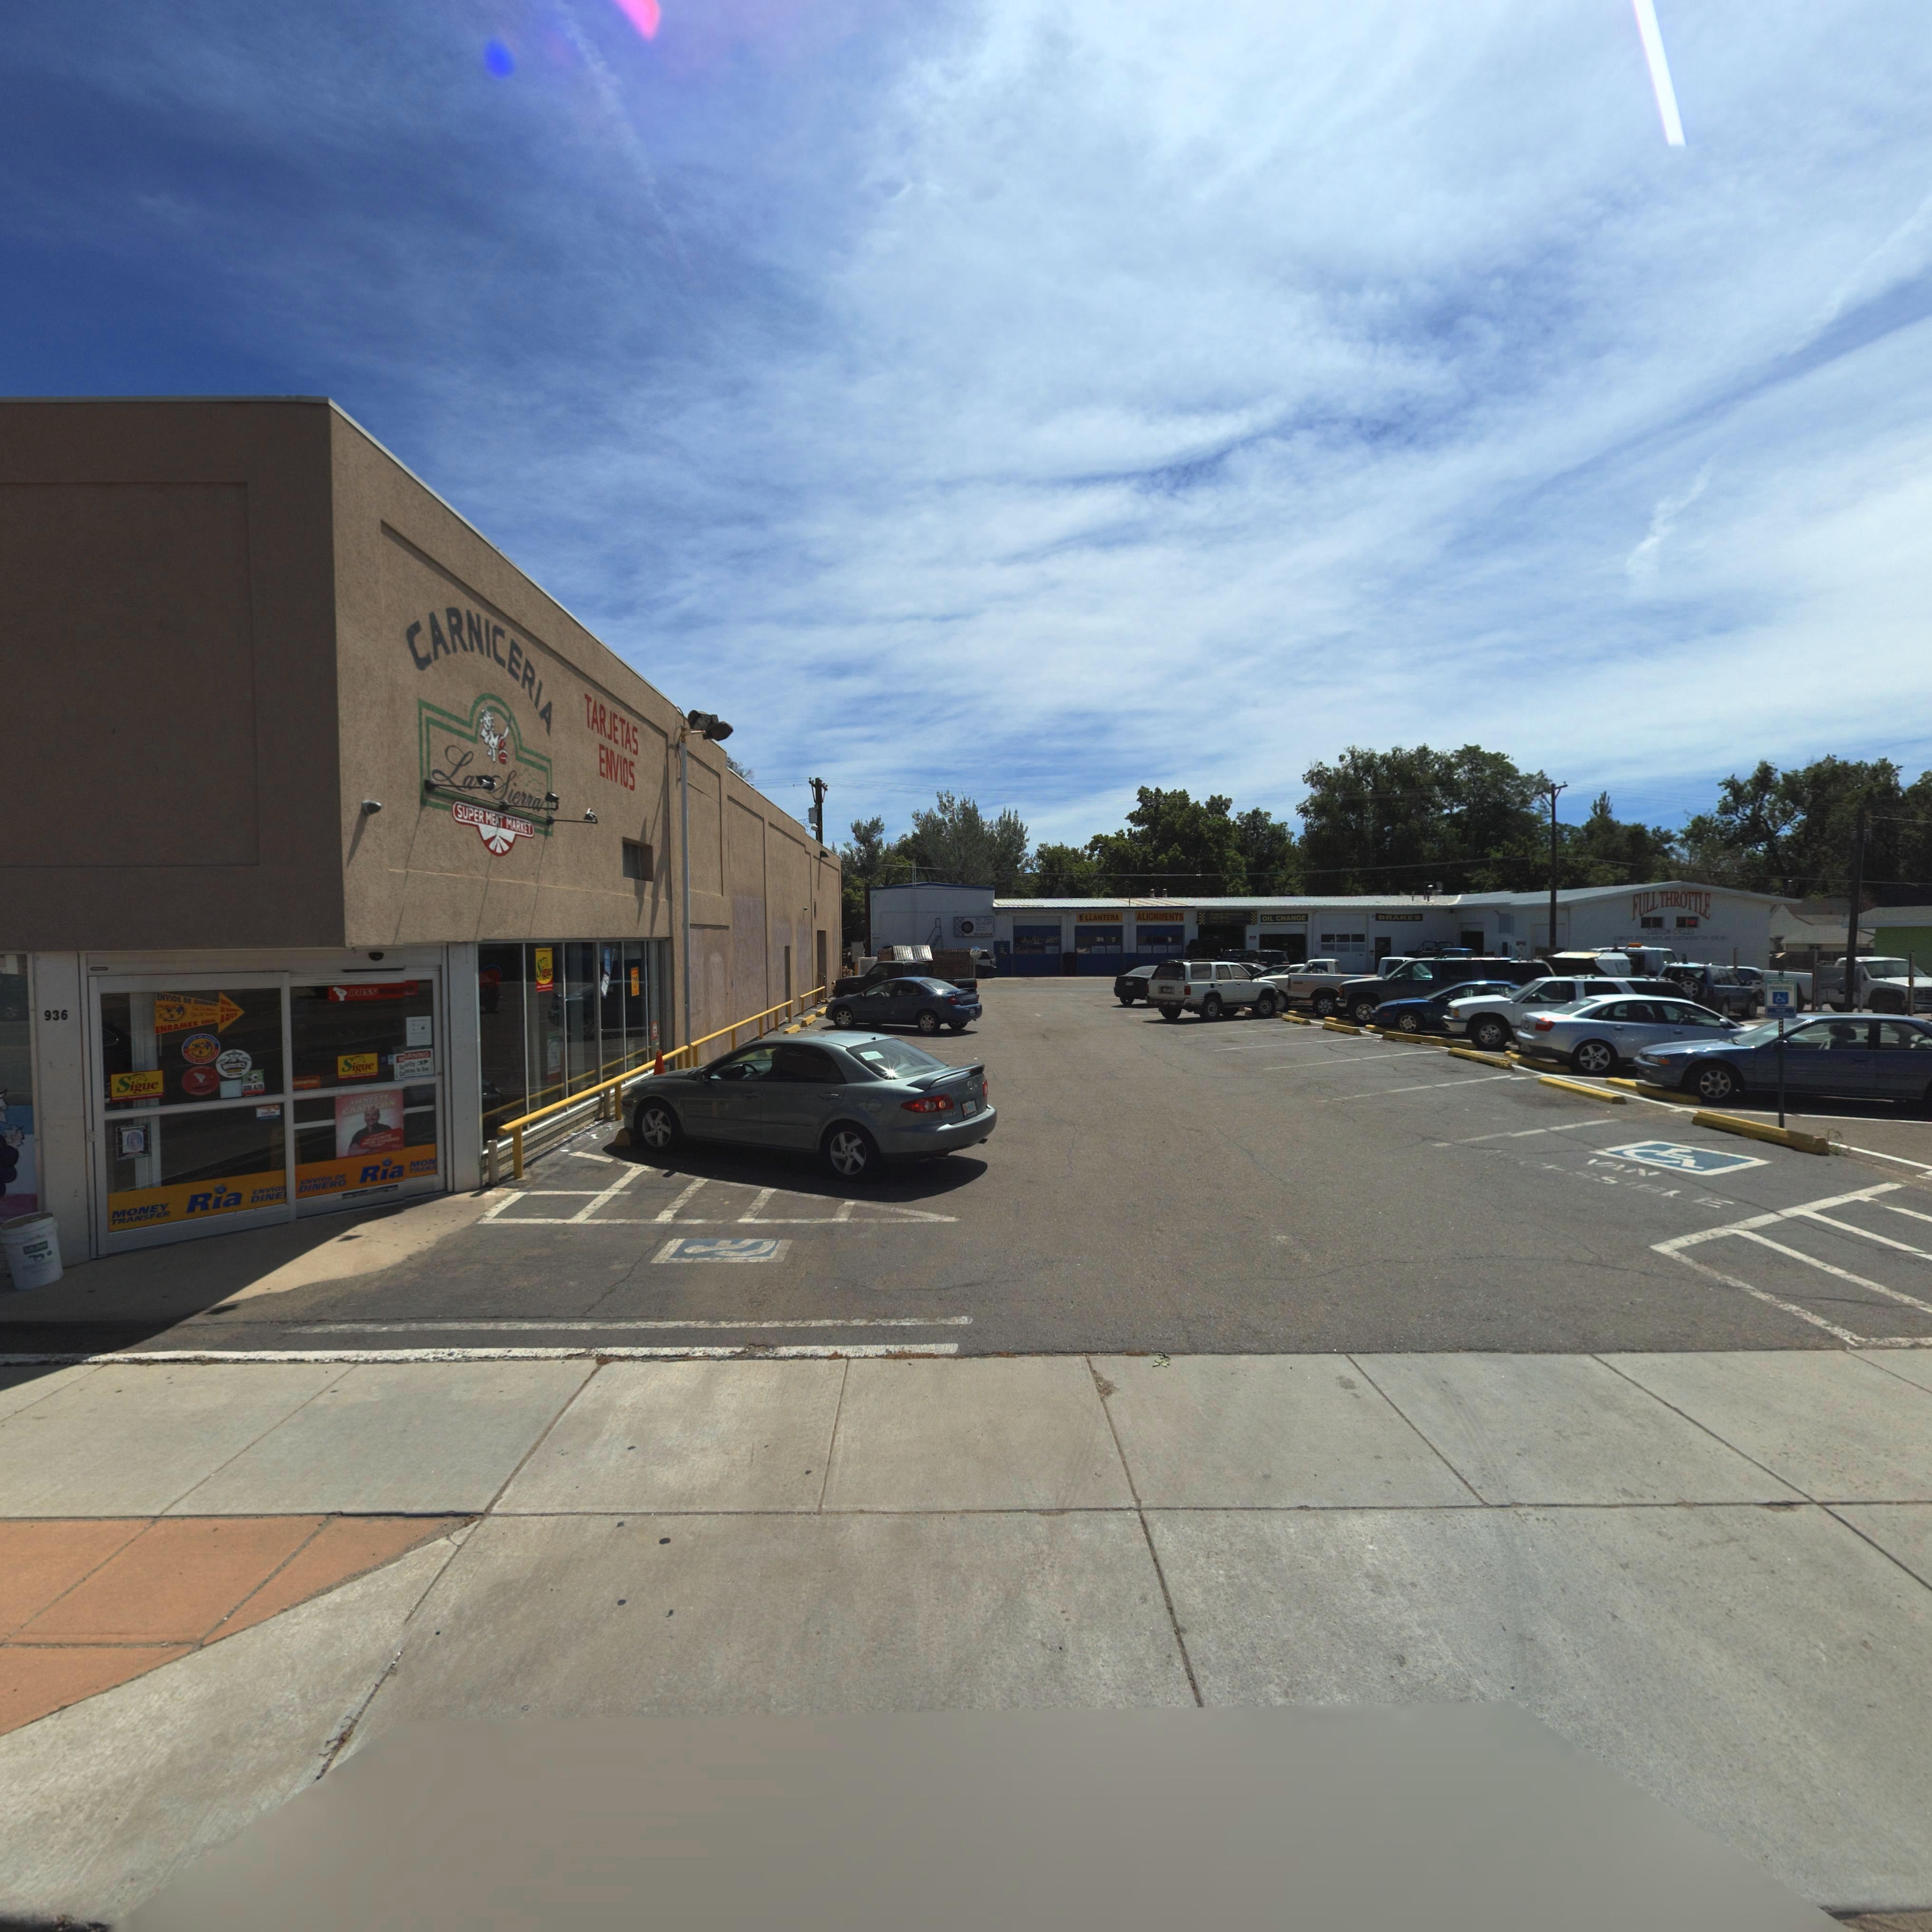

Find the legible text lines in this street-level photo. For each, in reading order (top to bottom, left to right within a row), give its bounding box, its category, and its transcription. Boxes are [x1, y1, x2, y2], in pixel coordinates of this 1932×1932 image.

[404, 607, 552, 737] BusinessName: CARNICERIA
[431, 751, 545, 812] BusinessName: La Sierra
[976, 917, 992, 922] StreetNumber: MR. TIRES
[44, 1009, 68, 1021] StreetNumber: 936